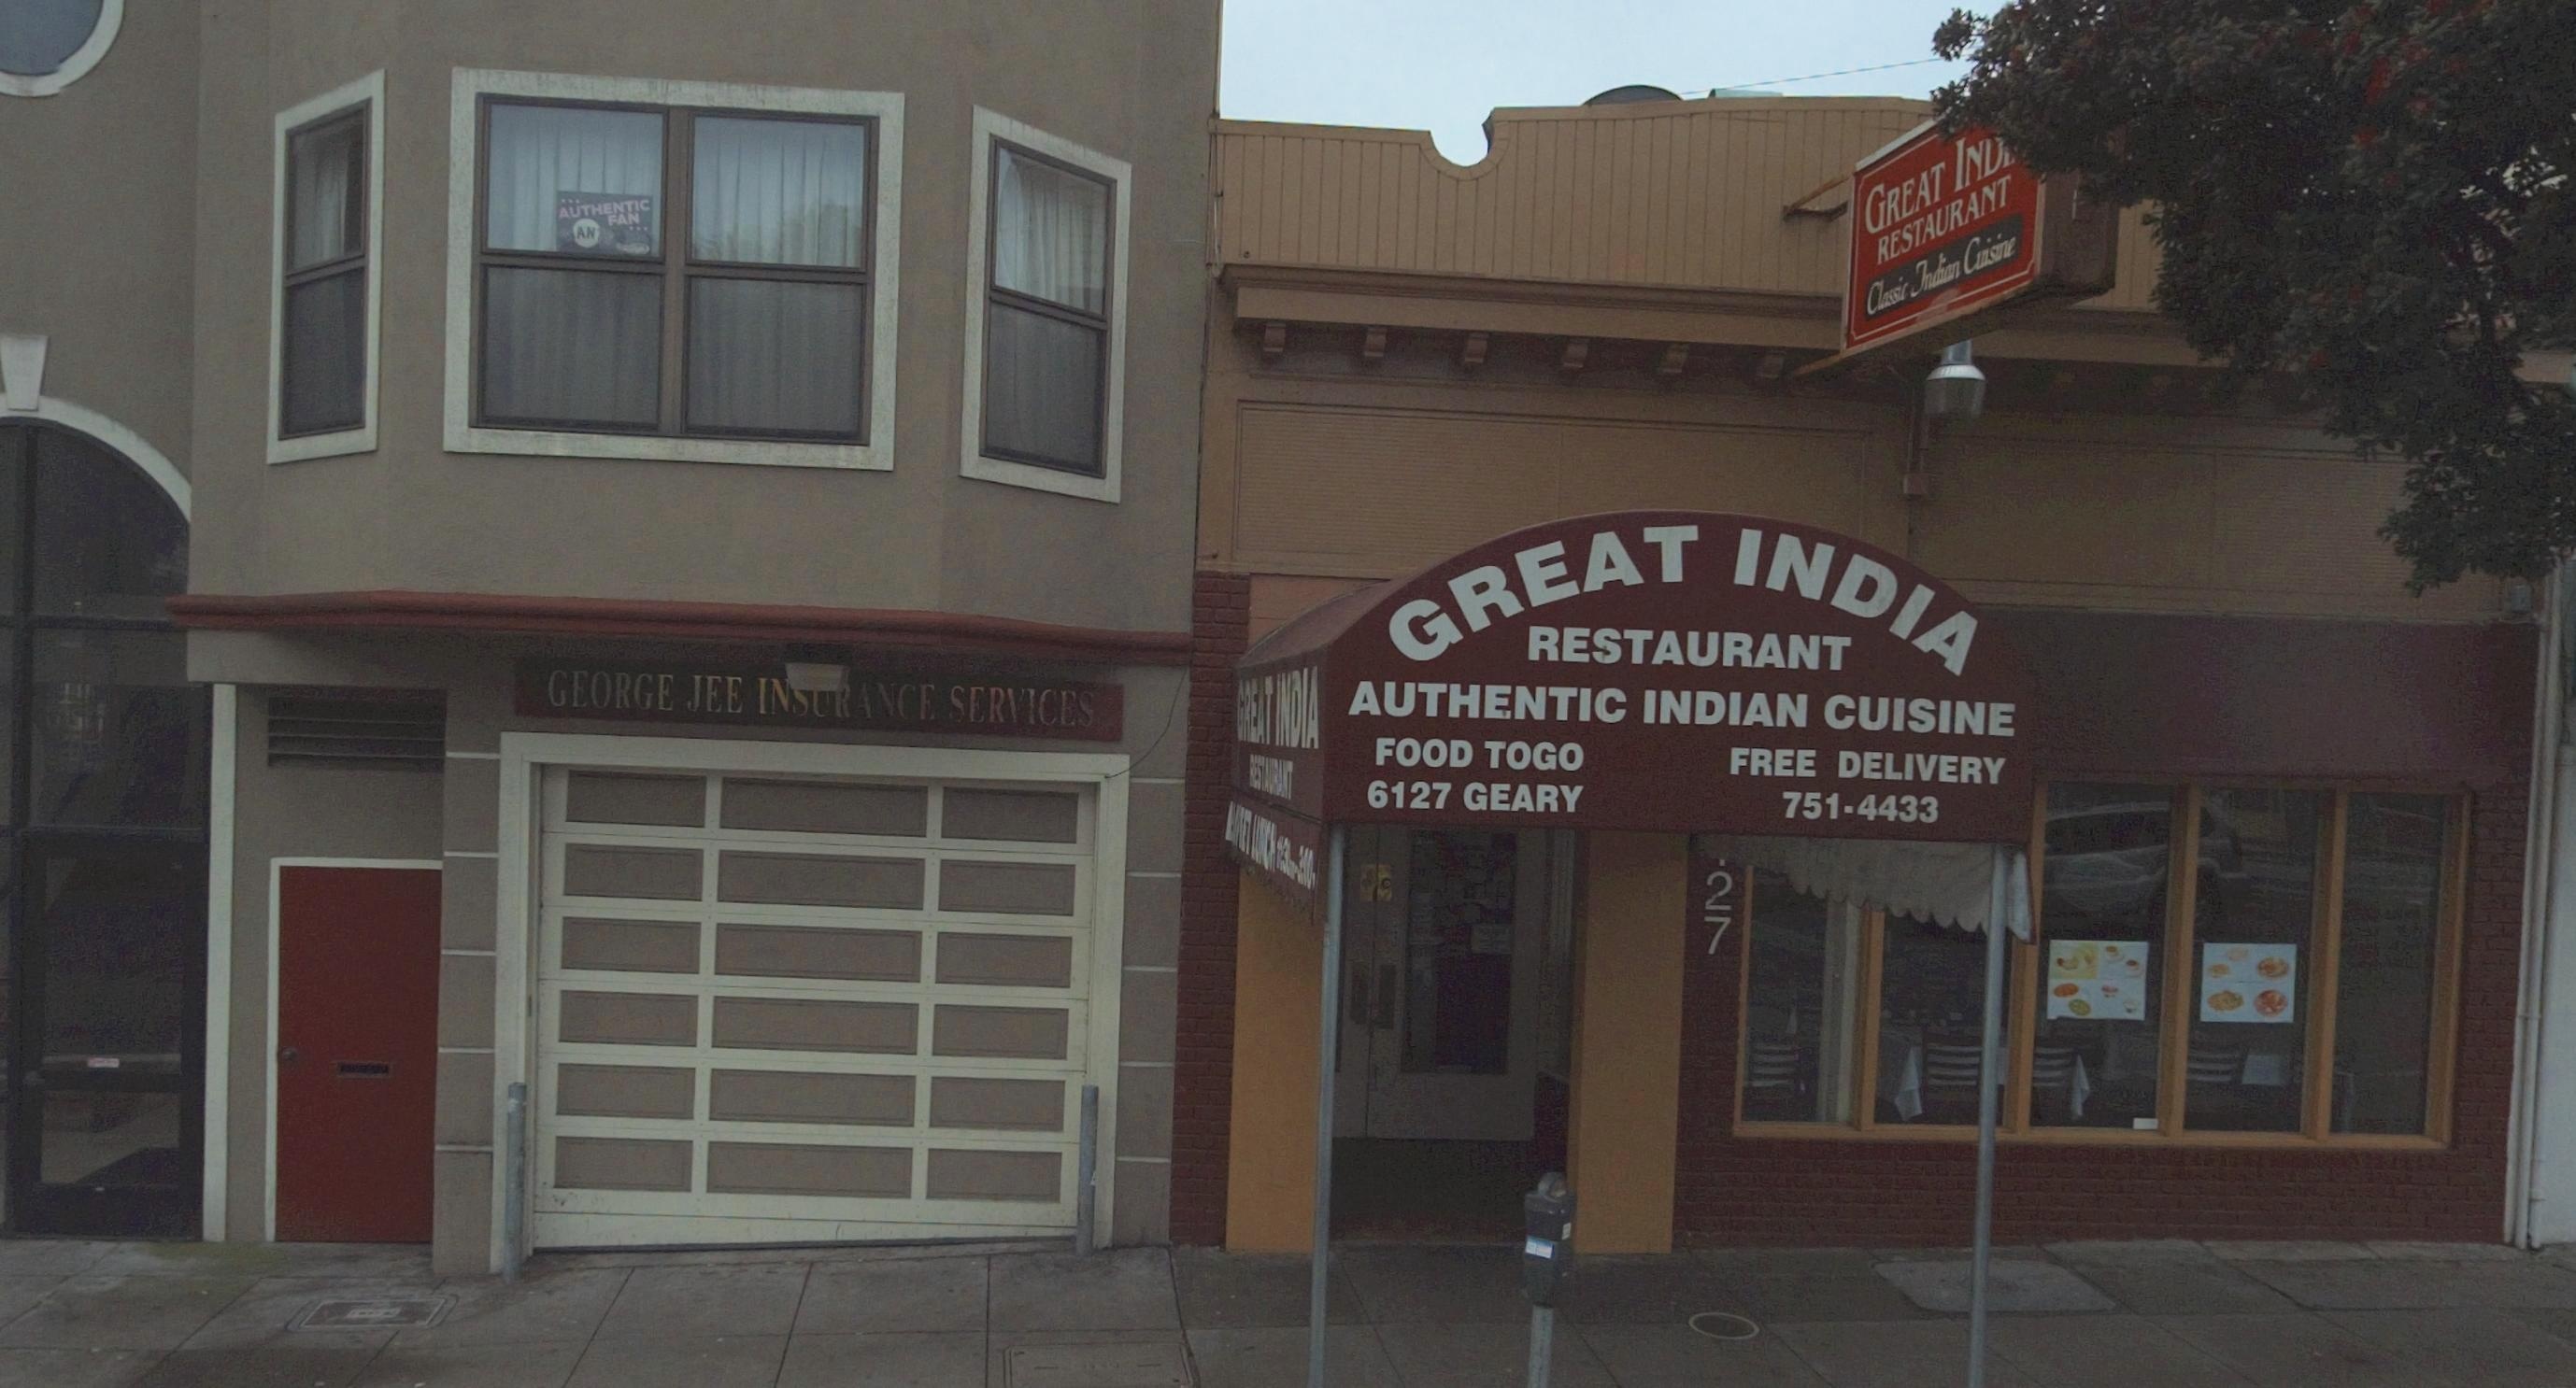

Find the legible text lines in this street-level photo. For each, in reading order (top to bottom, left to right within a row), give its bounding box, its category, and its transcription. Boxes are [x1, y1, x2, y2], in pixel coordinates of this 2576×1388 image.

[1859, 127, 2010, 240] BusinessName: GREAT IND
[1866, 163, 2019, 272] BusinessName: RESTAURANT
[1859, 230, 2021, 319] None: Classic Indian Cuisine
[1371, 519, 1985, 685] BusinessName: GREAT INDIA
[1521, 620, 1859, 673] BusinessName: RESTAURANT
[542, 663, 1099, 733] BusinessName: GEORGE JEE IN*URAMCE SERVICES
[1232, 661, 1324, 754] None: GREAT INDIA
[1342, 673, 2022, 743] None: AUTHENTIC INDIAN CUISINE
[1362, 776, 1455, 814] StreetNumber: 6127
[1361, 731, 1587, 778] None: FOOD TOGO
[1459, 779, 1594, 817] StreetName: GEARY
[1773, 786, 1943, 829] None: 751-4433
[1724, 740, 2018, 792] None: FREE DELIVERY
[1700, 865, 1738, 965] StreetNumber: 27